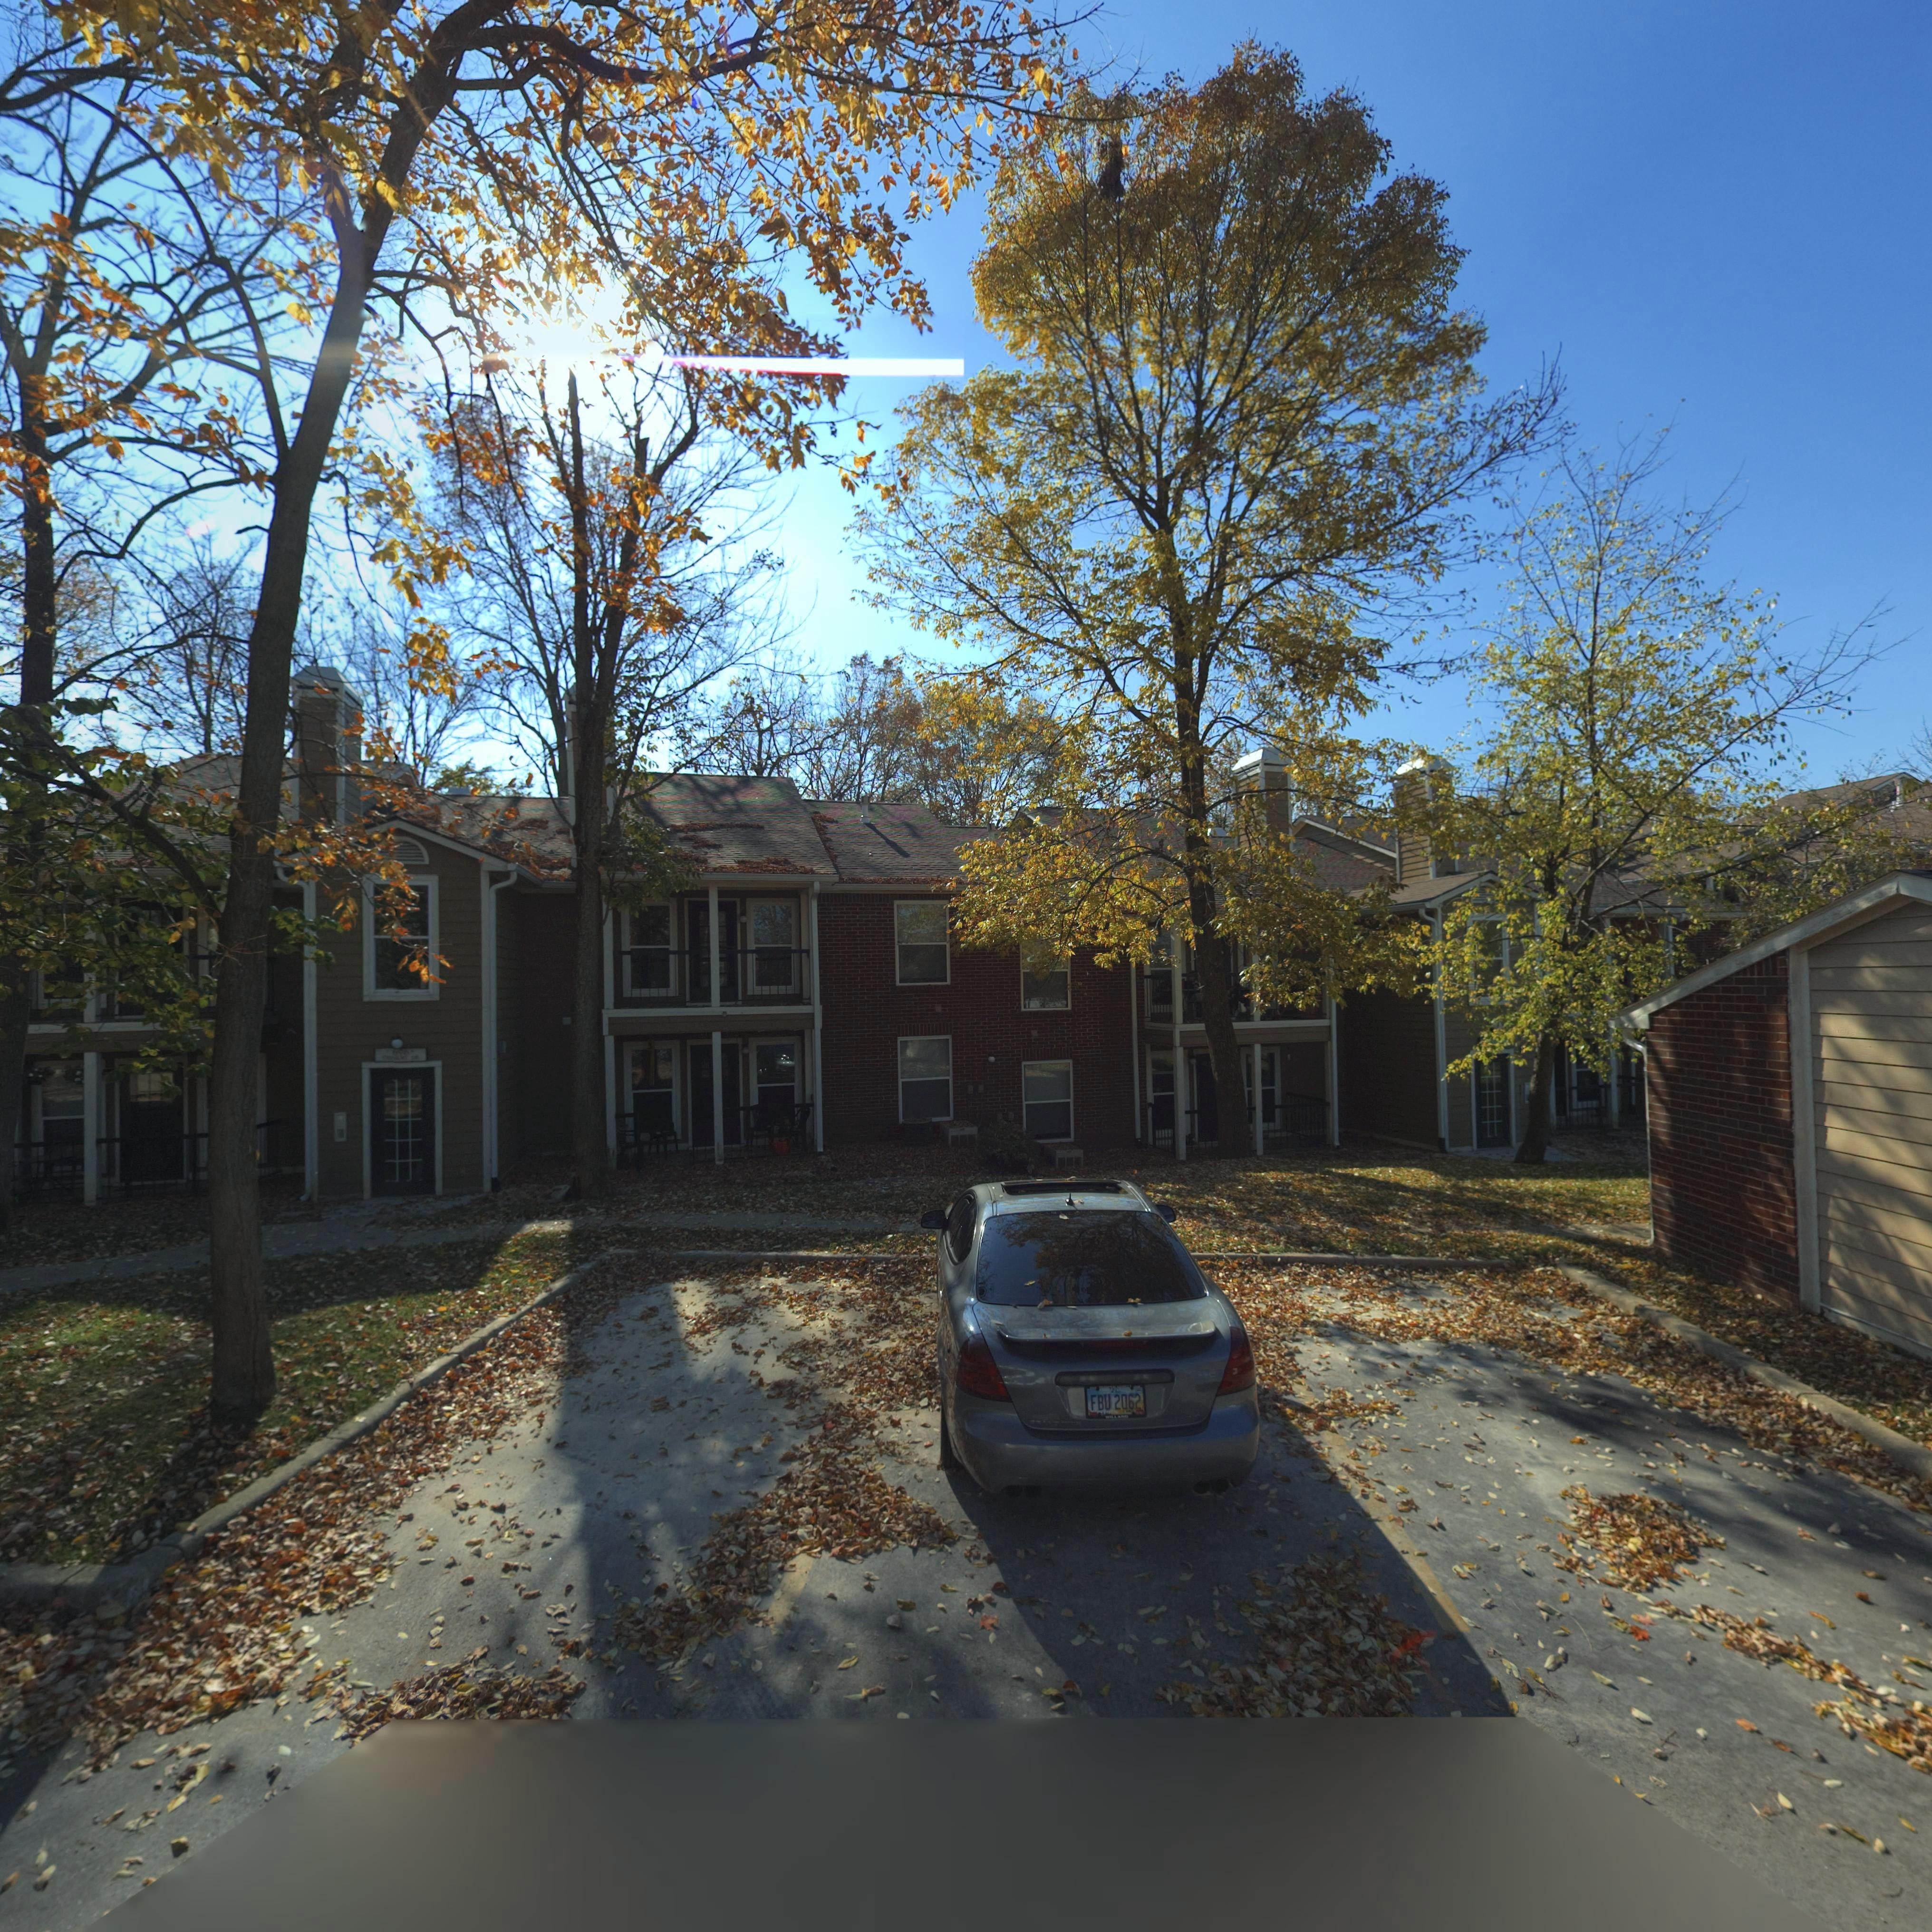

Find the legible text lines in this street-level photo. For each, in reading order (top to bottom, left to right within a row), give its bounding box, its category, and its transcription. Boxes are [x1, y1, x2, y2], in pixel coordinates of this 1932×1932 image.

[391, 1047, 411, 1057] StreetNumber: 696
[1090, 1392, 1142, 1411] None: FBU 2062